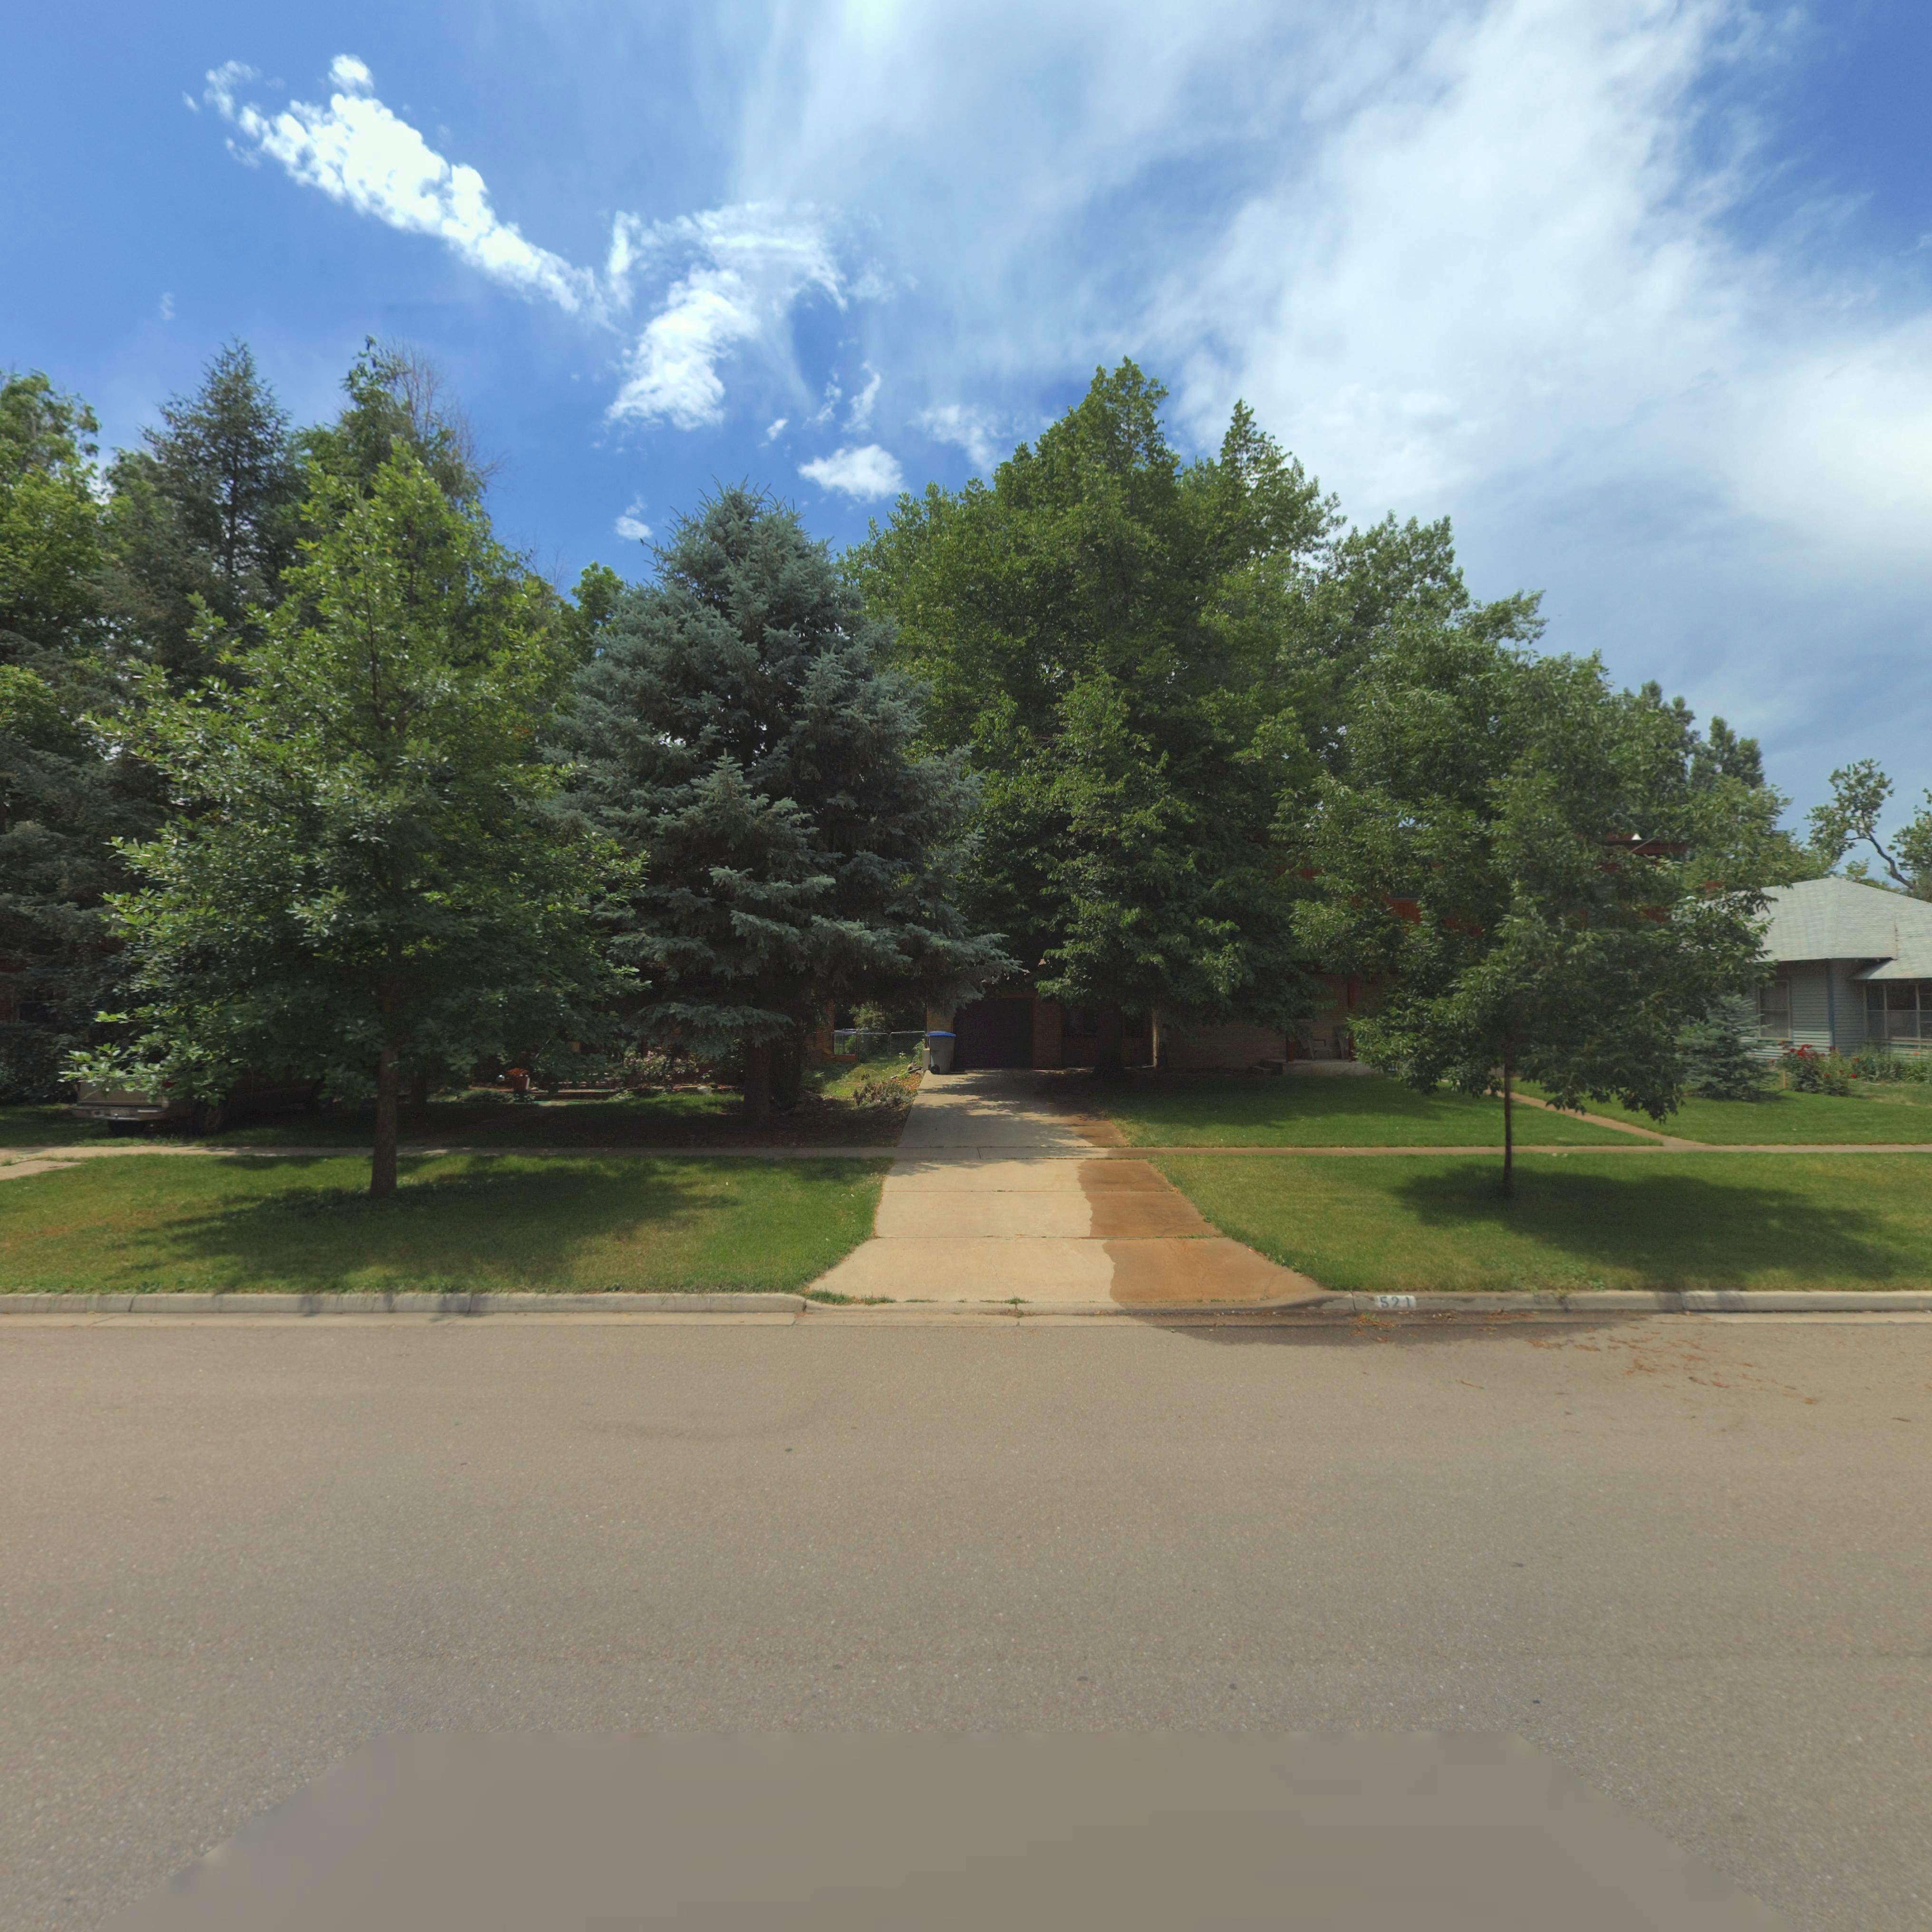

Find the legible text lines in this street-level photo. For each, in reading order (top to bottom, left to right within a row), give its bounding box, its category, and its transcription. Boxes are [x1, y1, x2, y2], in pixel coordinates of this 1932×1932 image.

[1379, 1296, 1410, 1308] StreetNumber: 521